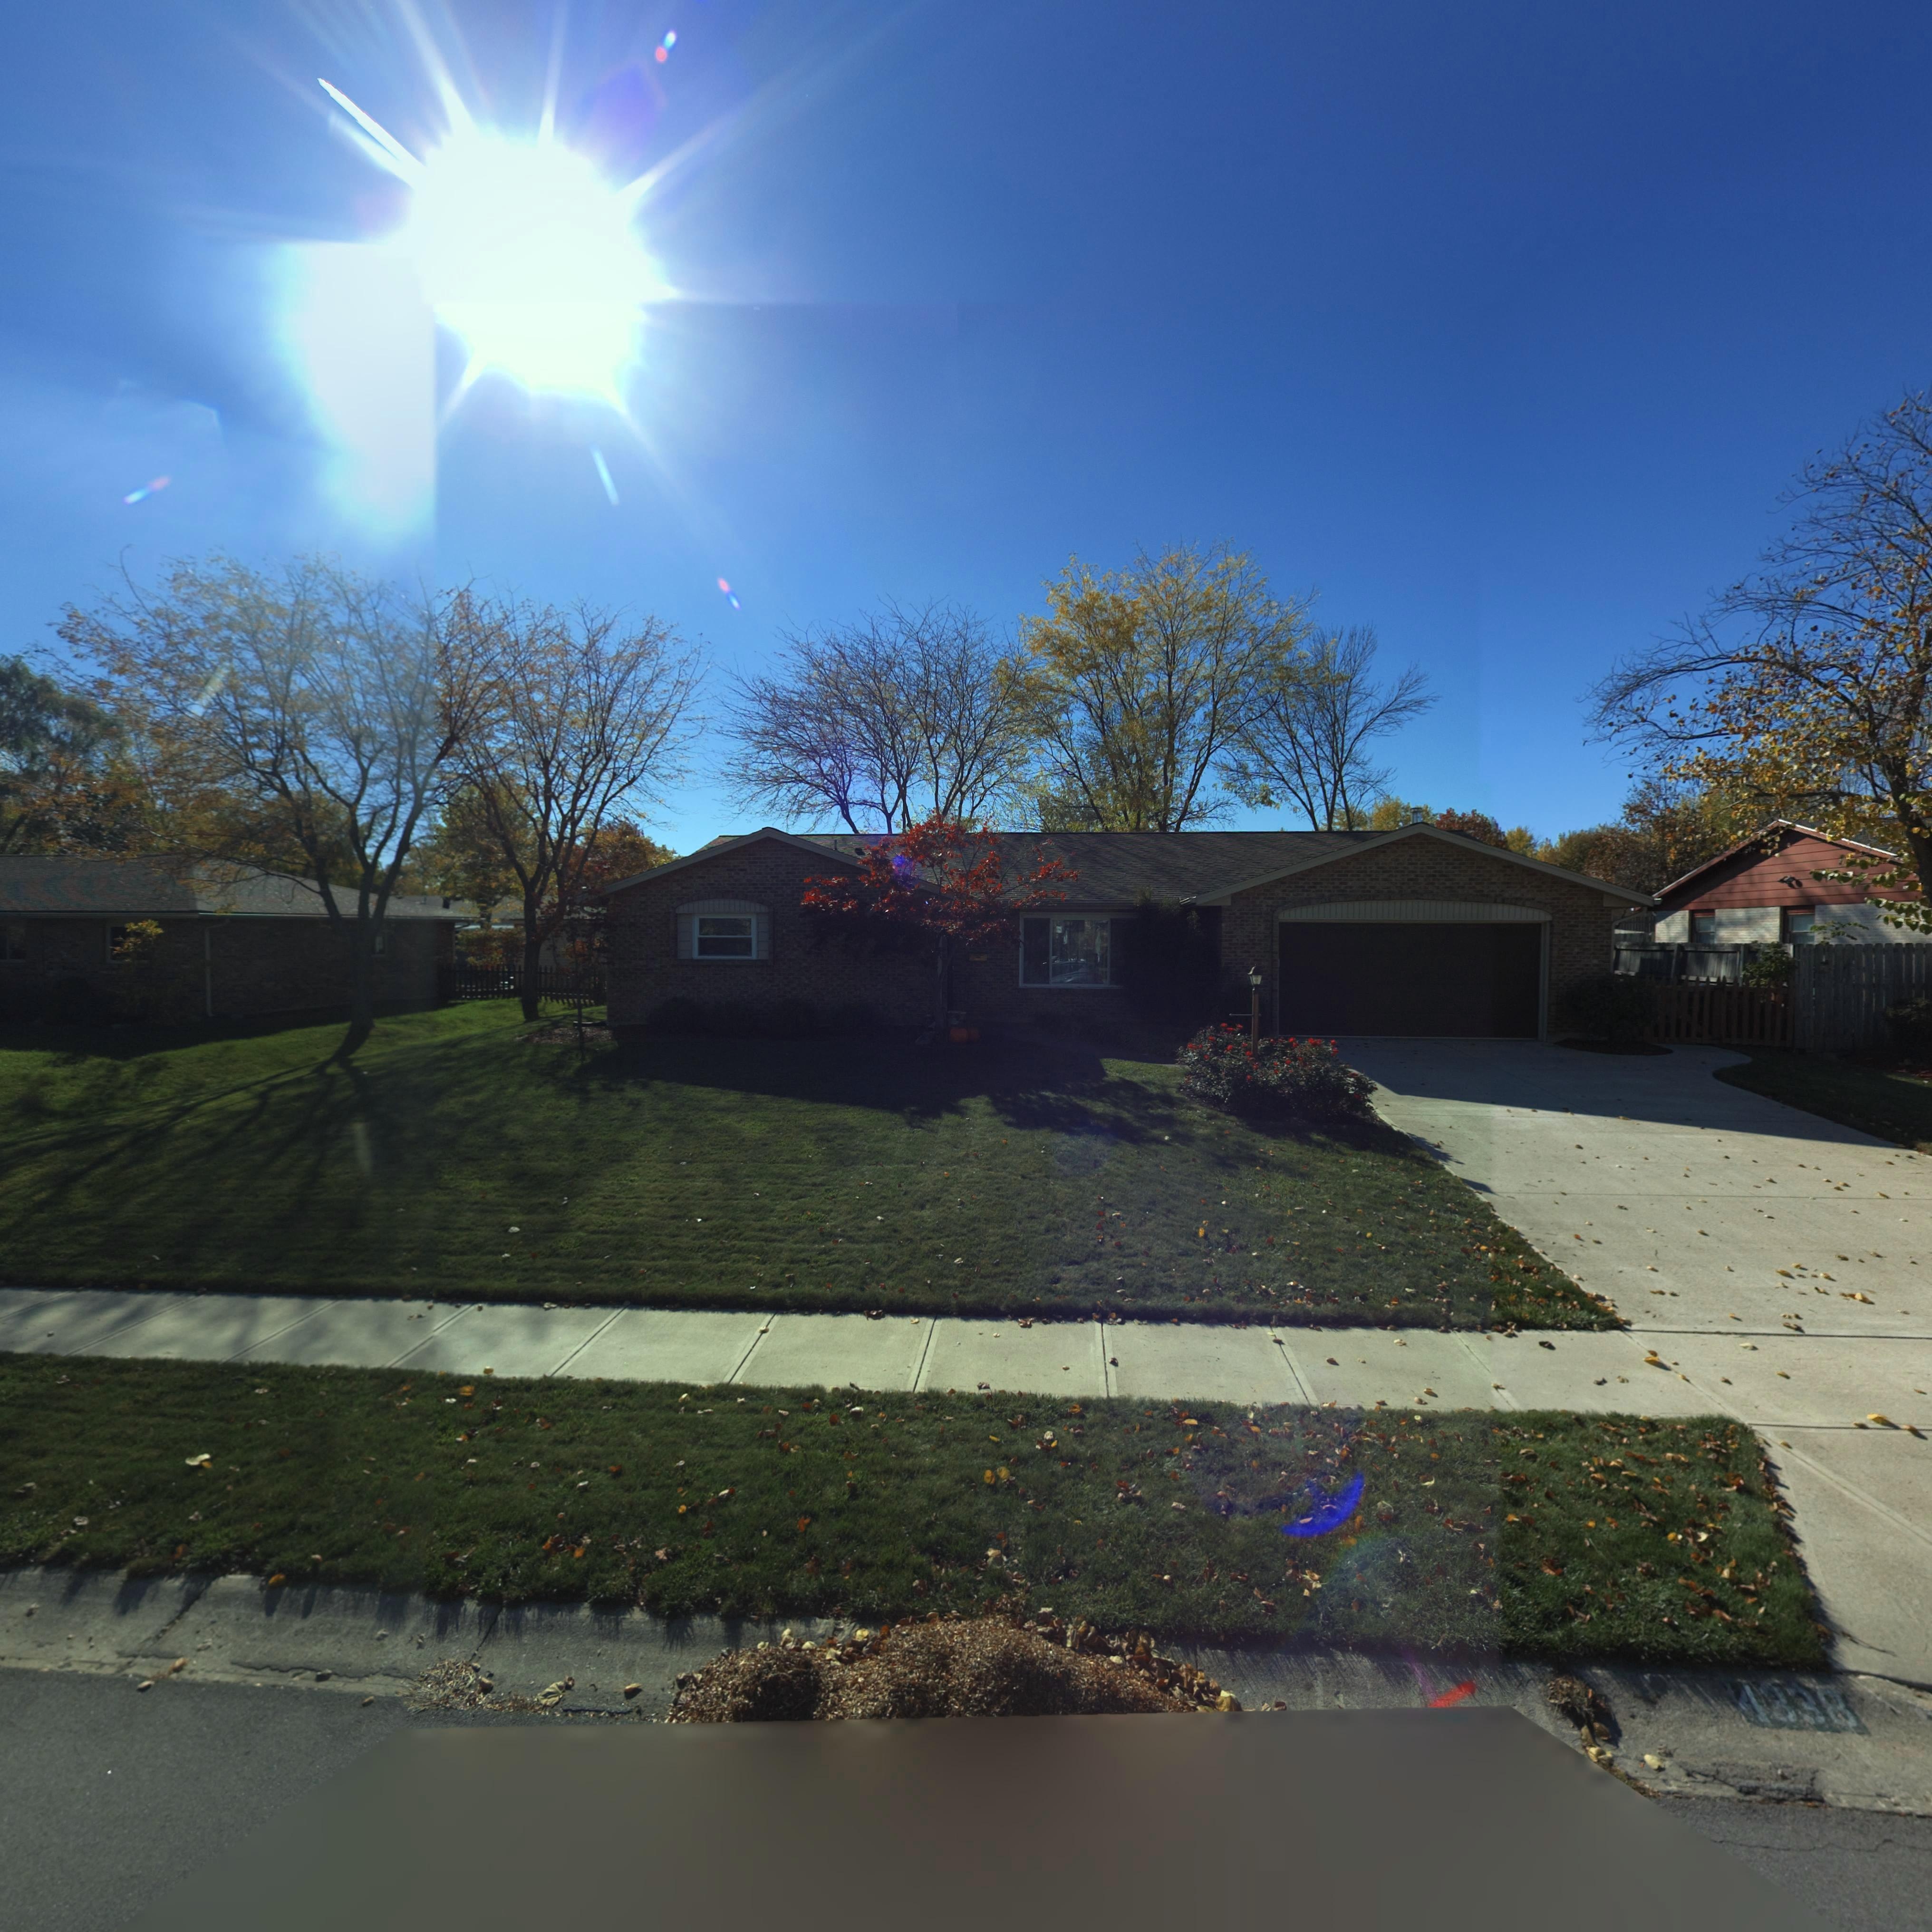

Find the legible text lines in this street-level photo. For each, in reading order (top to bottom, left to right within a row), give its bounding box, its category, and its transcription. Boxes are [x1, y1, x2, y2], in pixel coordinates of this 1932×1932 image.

[1736, 1683, 1860, 1729] StreetNumber: 4338